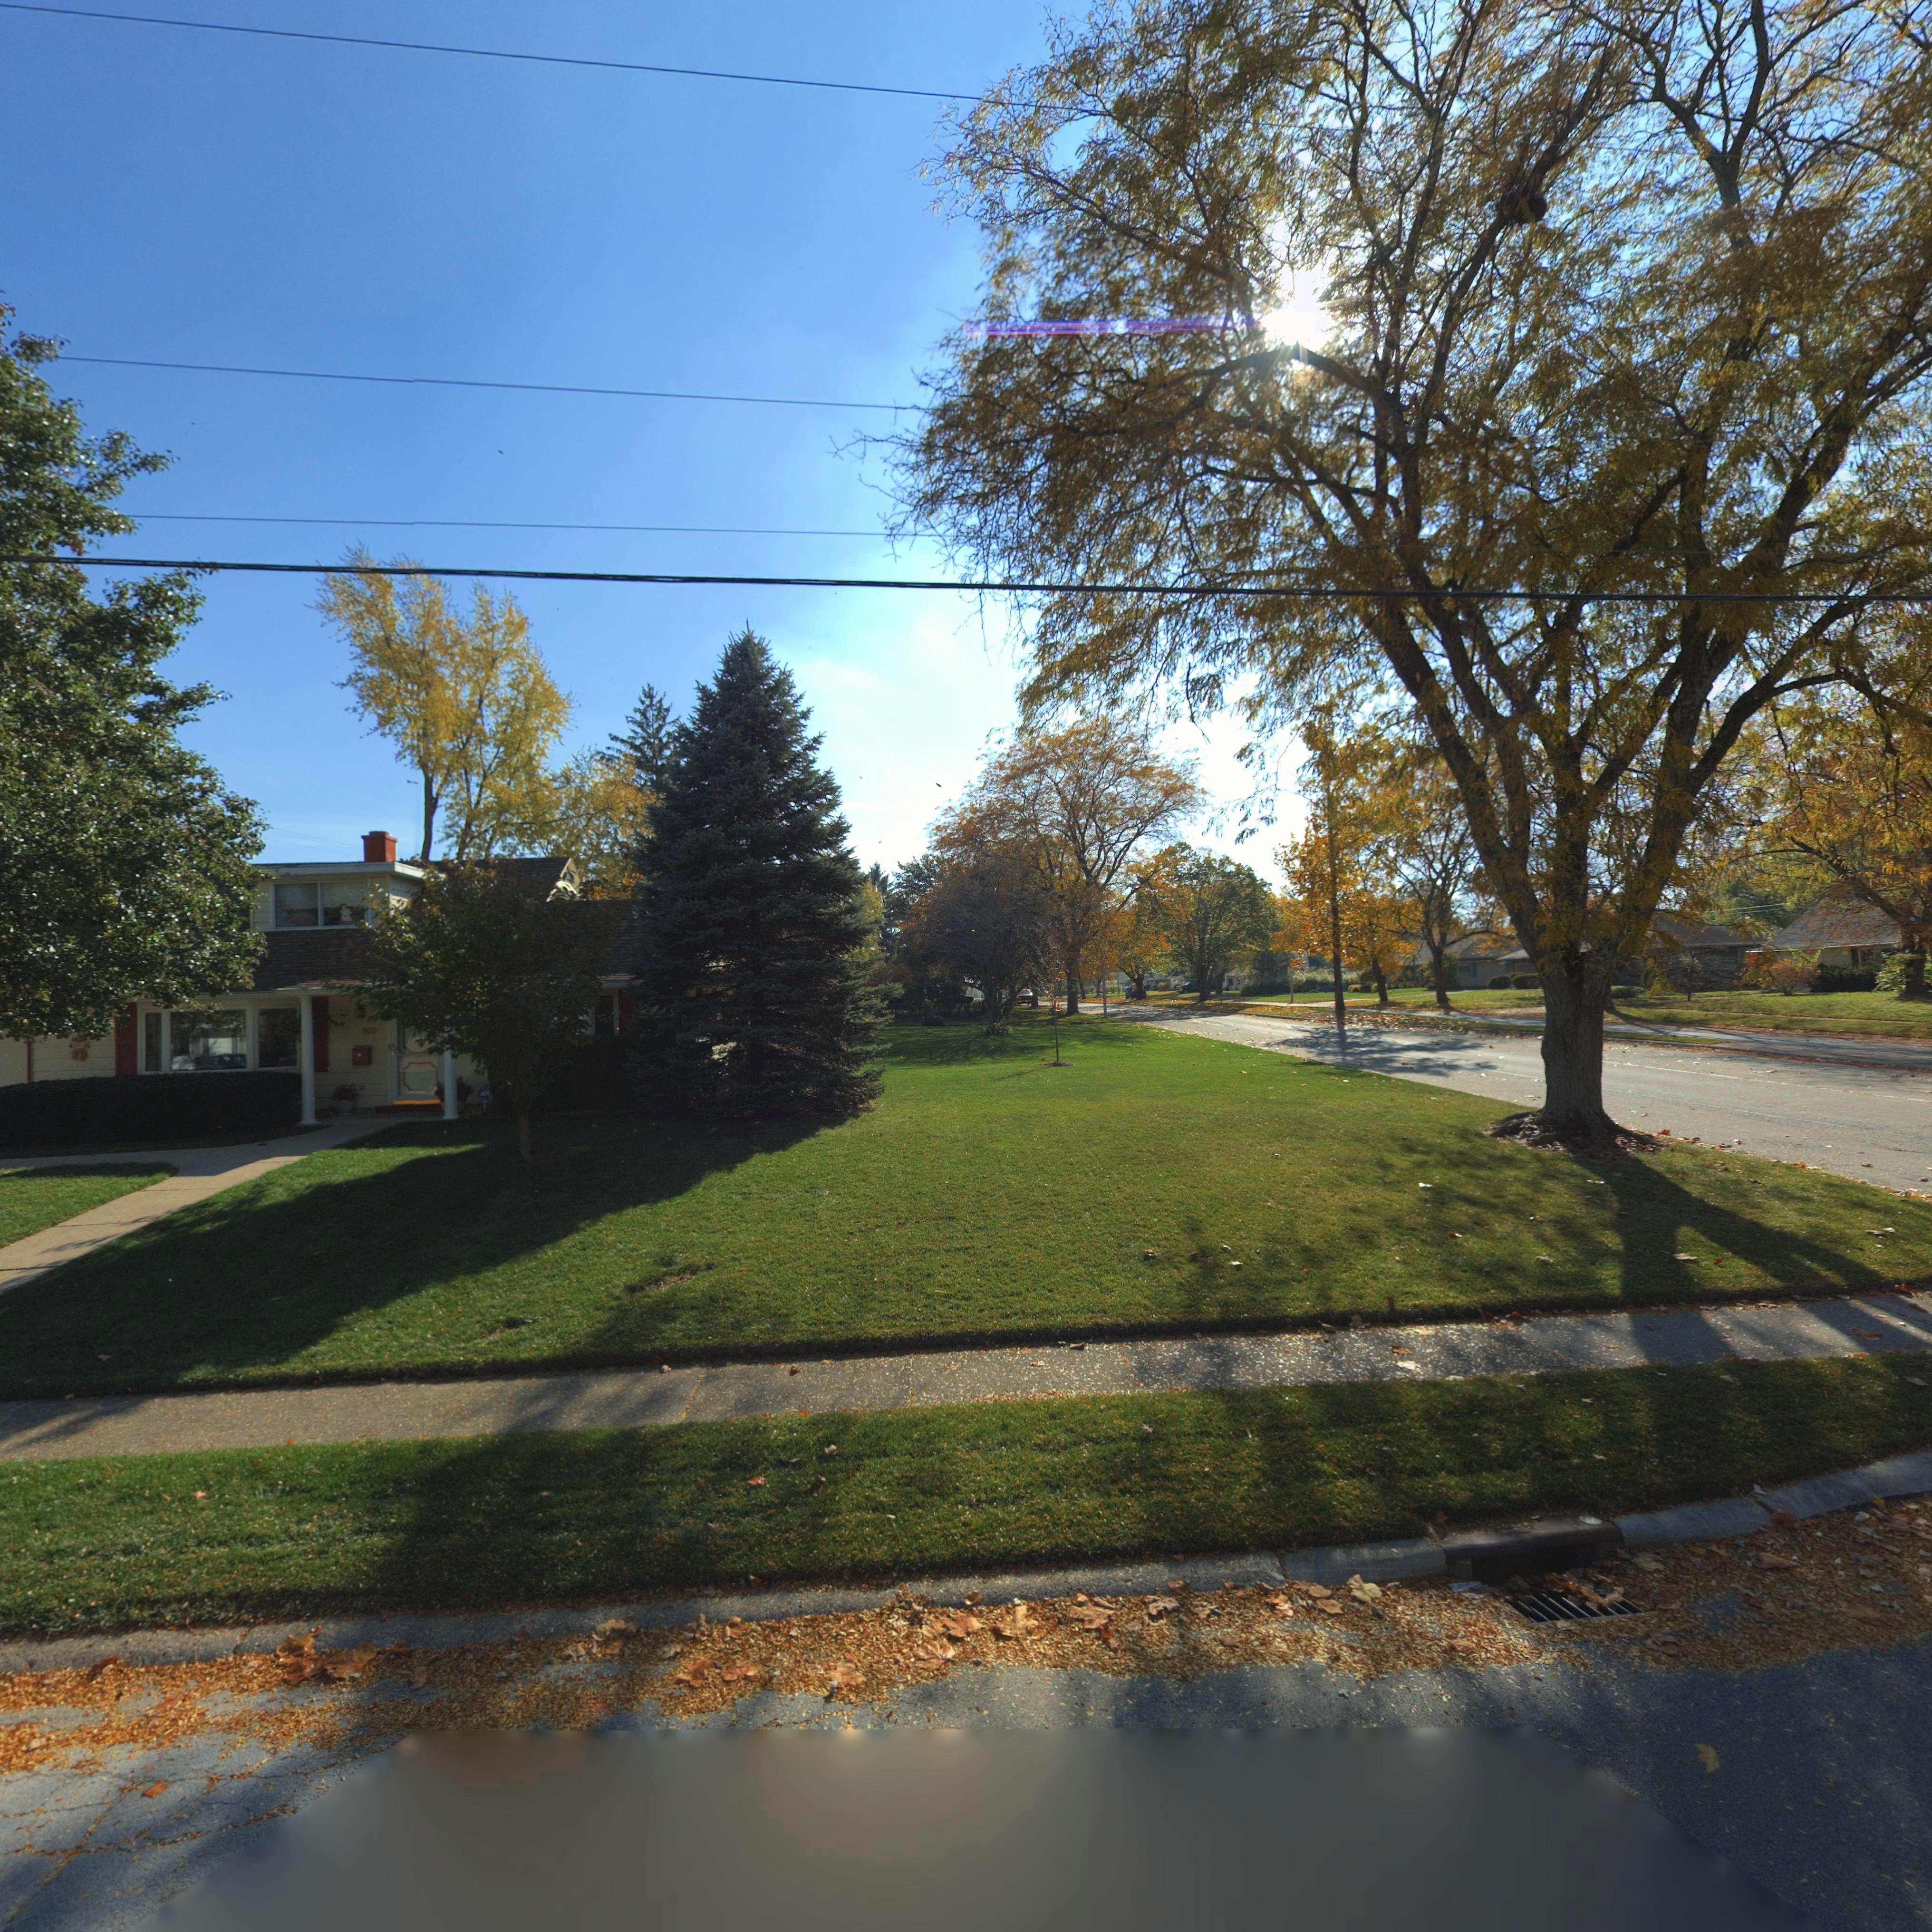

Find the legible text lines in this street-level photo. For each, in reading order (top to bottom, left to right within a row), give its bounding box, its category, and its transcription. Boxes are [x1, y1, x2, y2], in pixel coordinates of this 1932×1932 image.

[362, 1026, 377, 1035] StreetNumber: 900